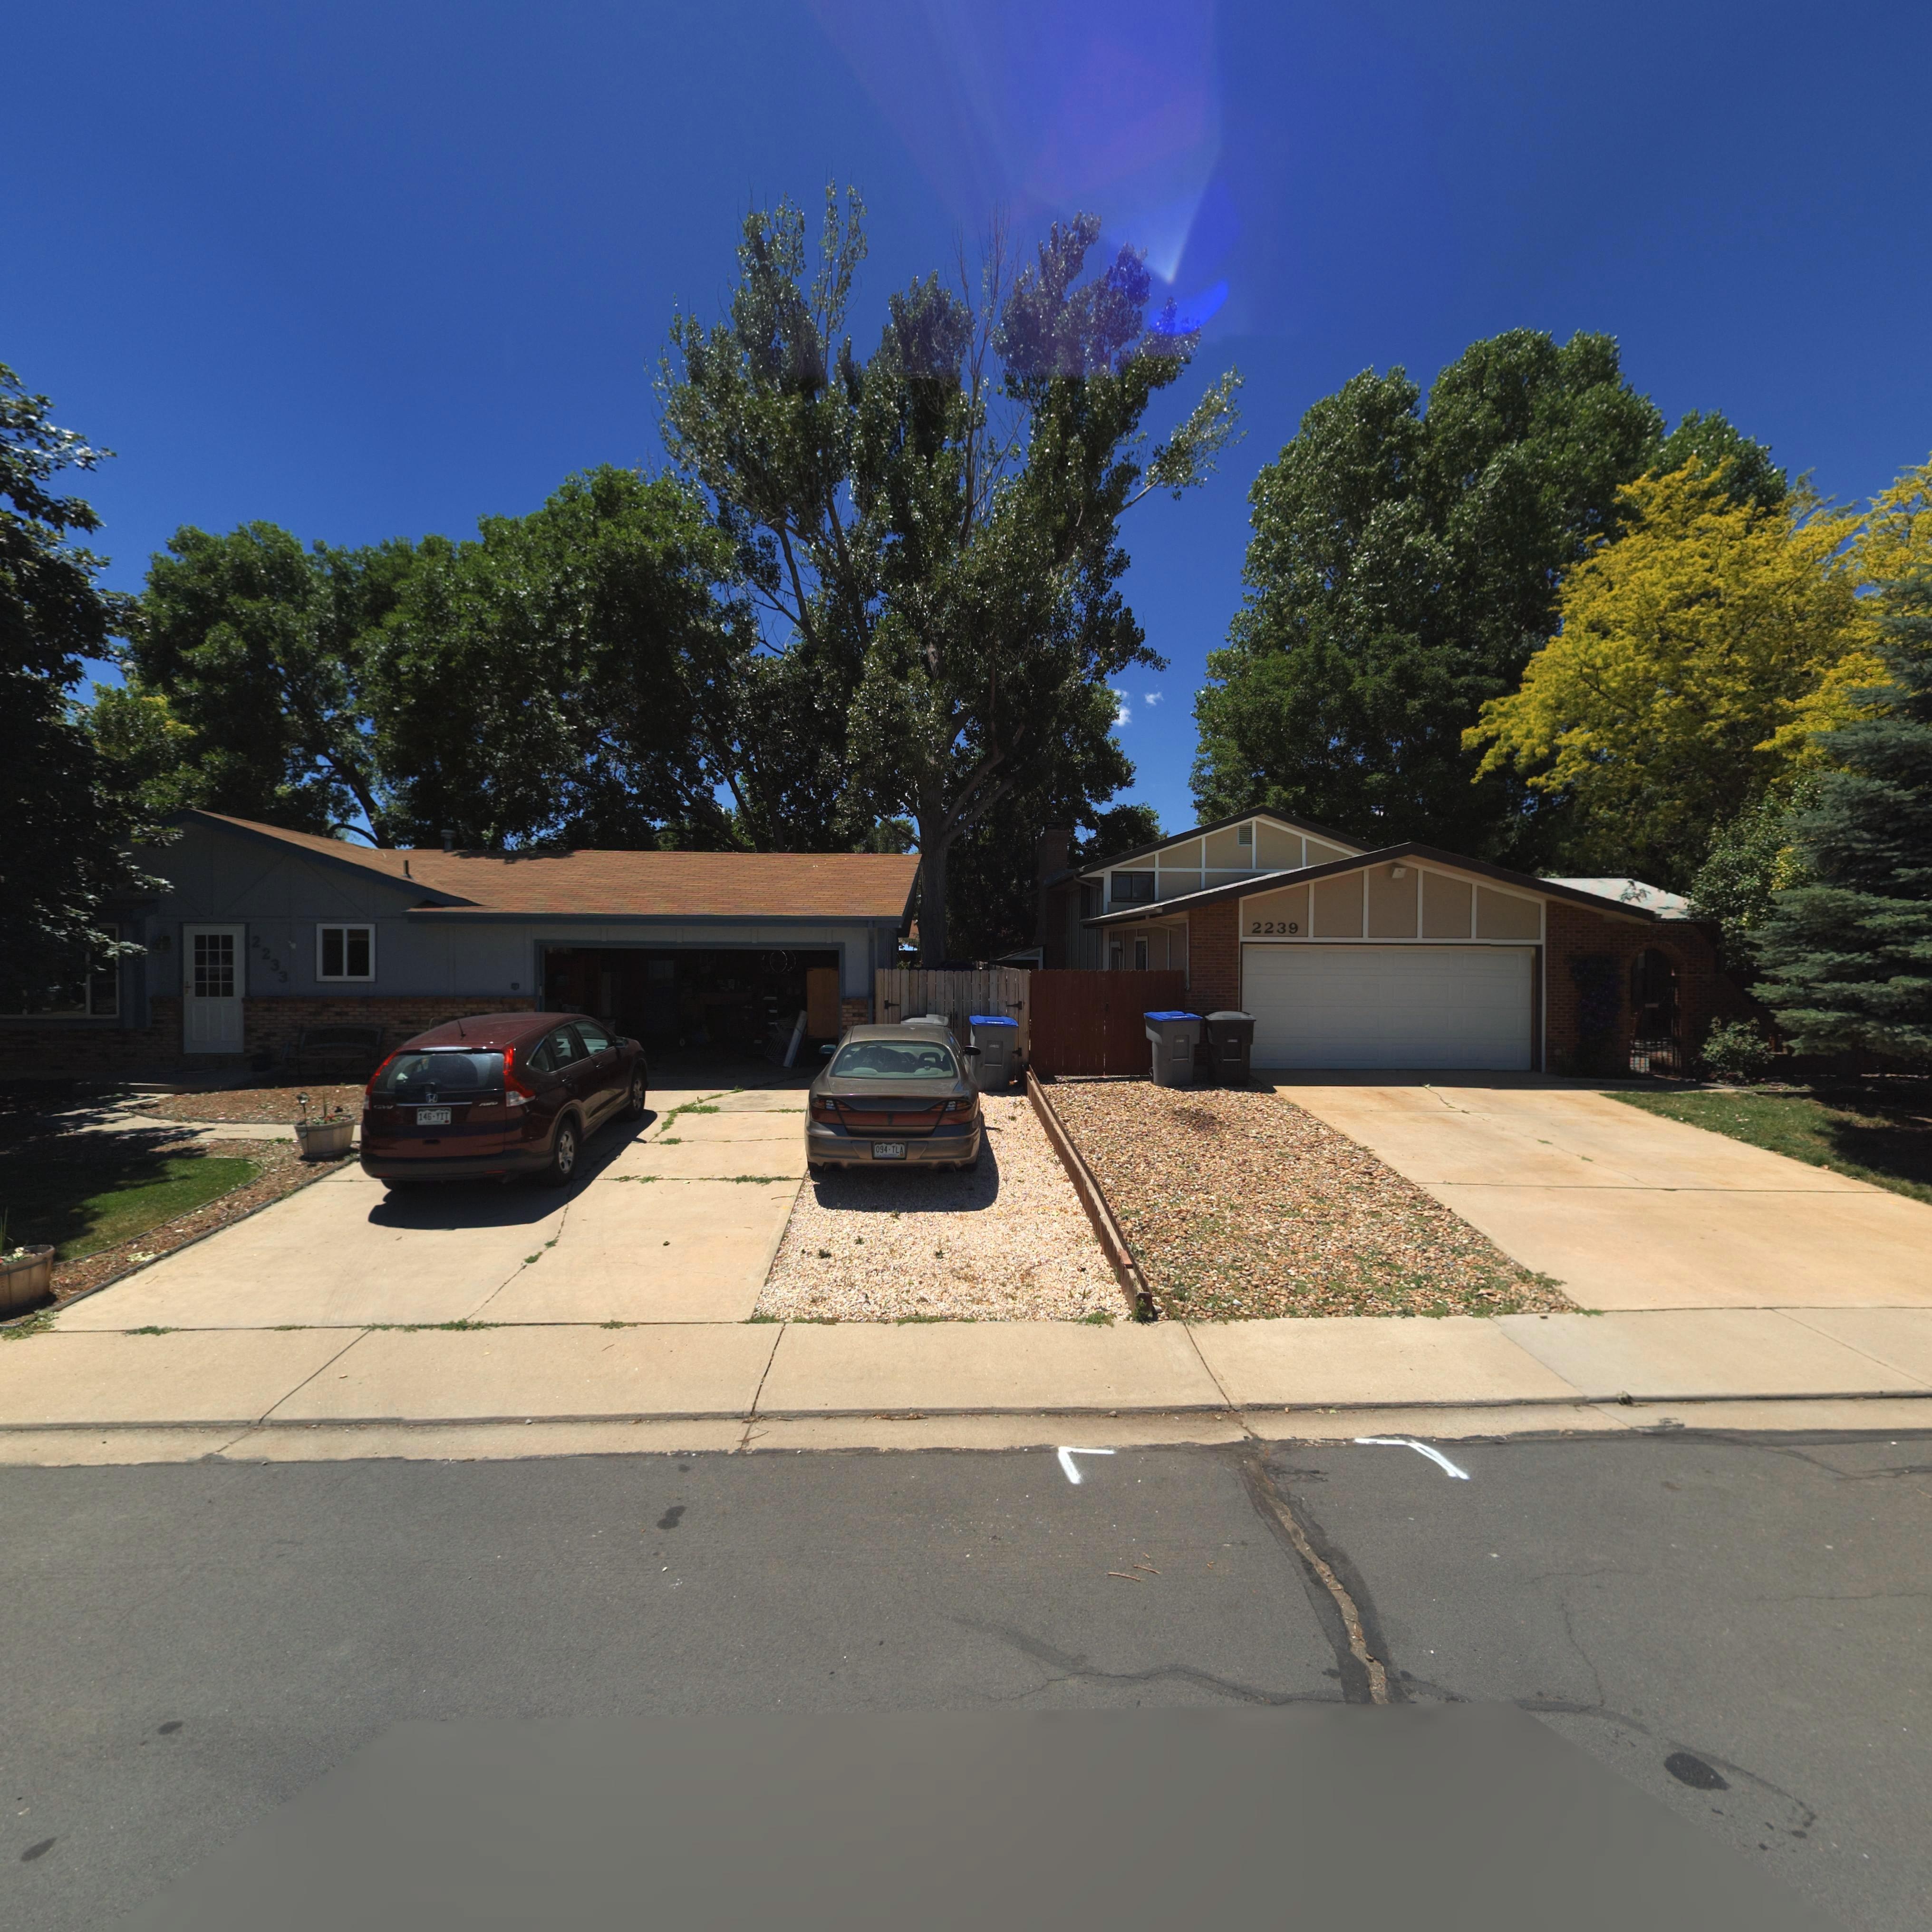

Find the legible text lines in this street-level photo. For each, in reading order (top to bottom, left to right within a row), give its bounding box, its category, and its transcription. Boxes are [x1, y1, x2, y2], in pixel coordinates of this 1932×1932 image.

[1251, 921, 1298, 934] StreetNumber: 2239
[251, 934, 288, 984] StreetNumber: 2233